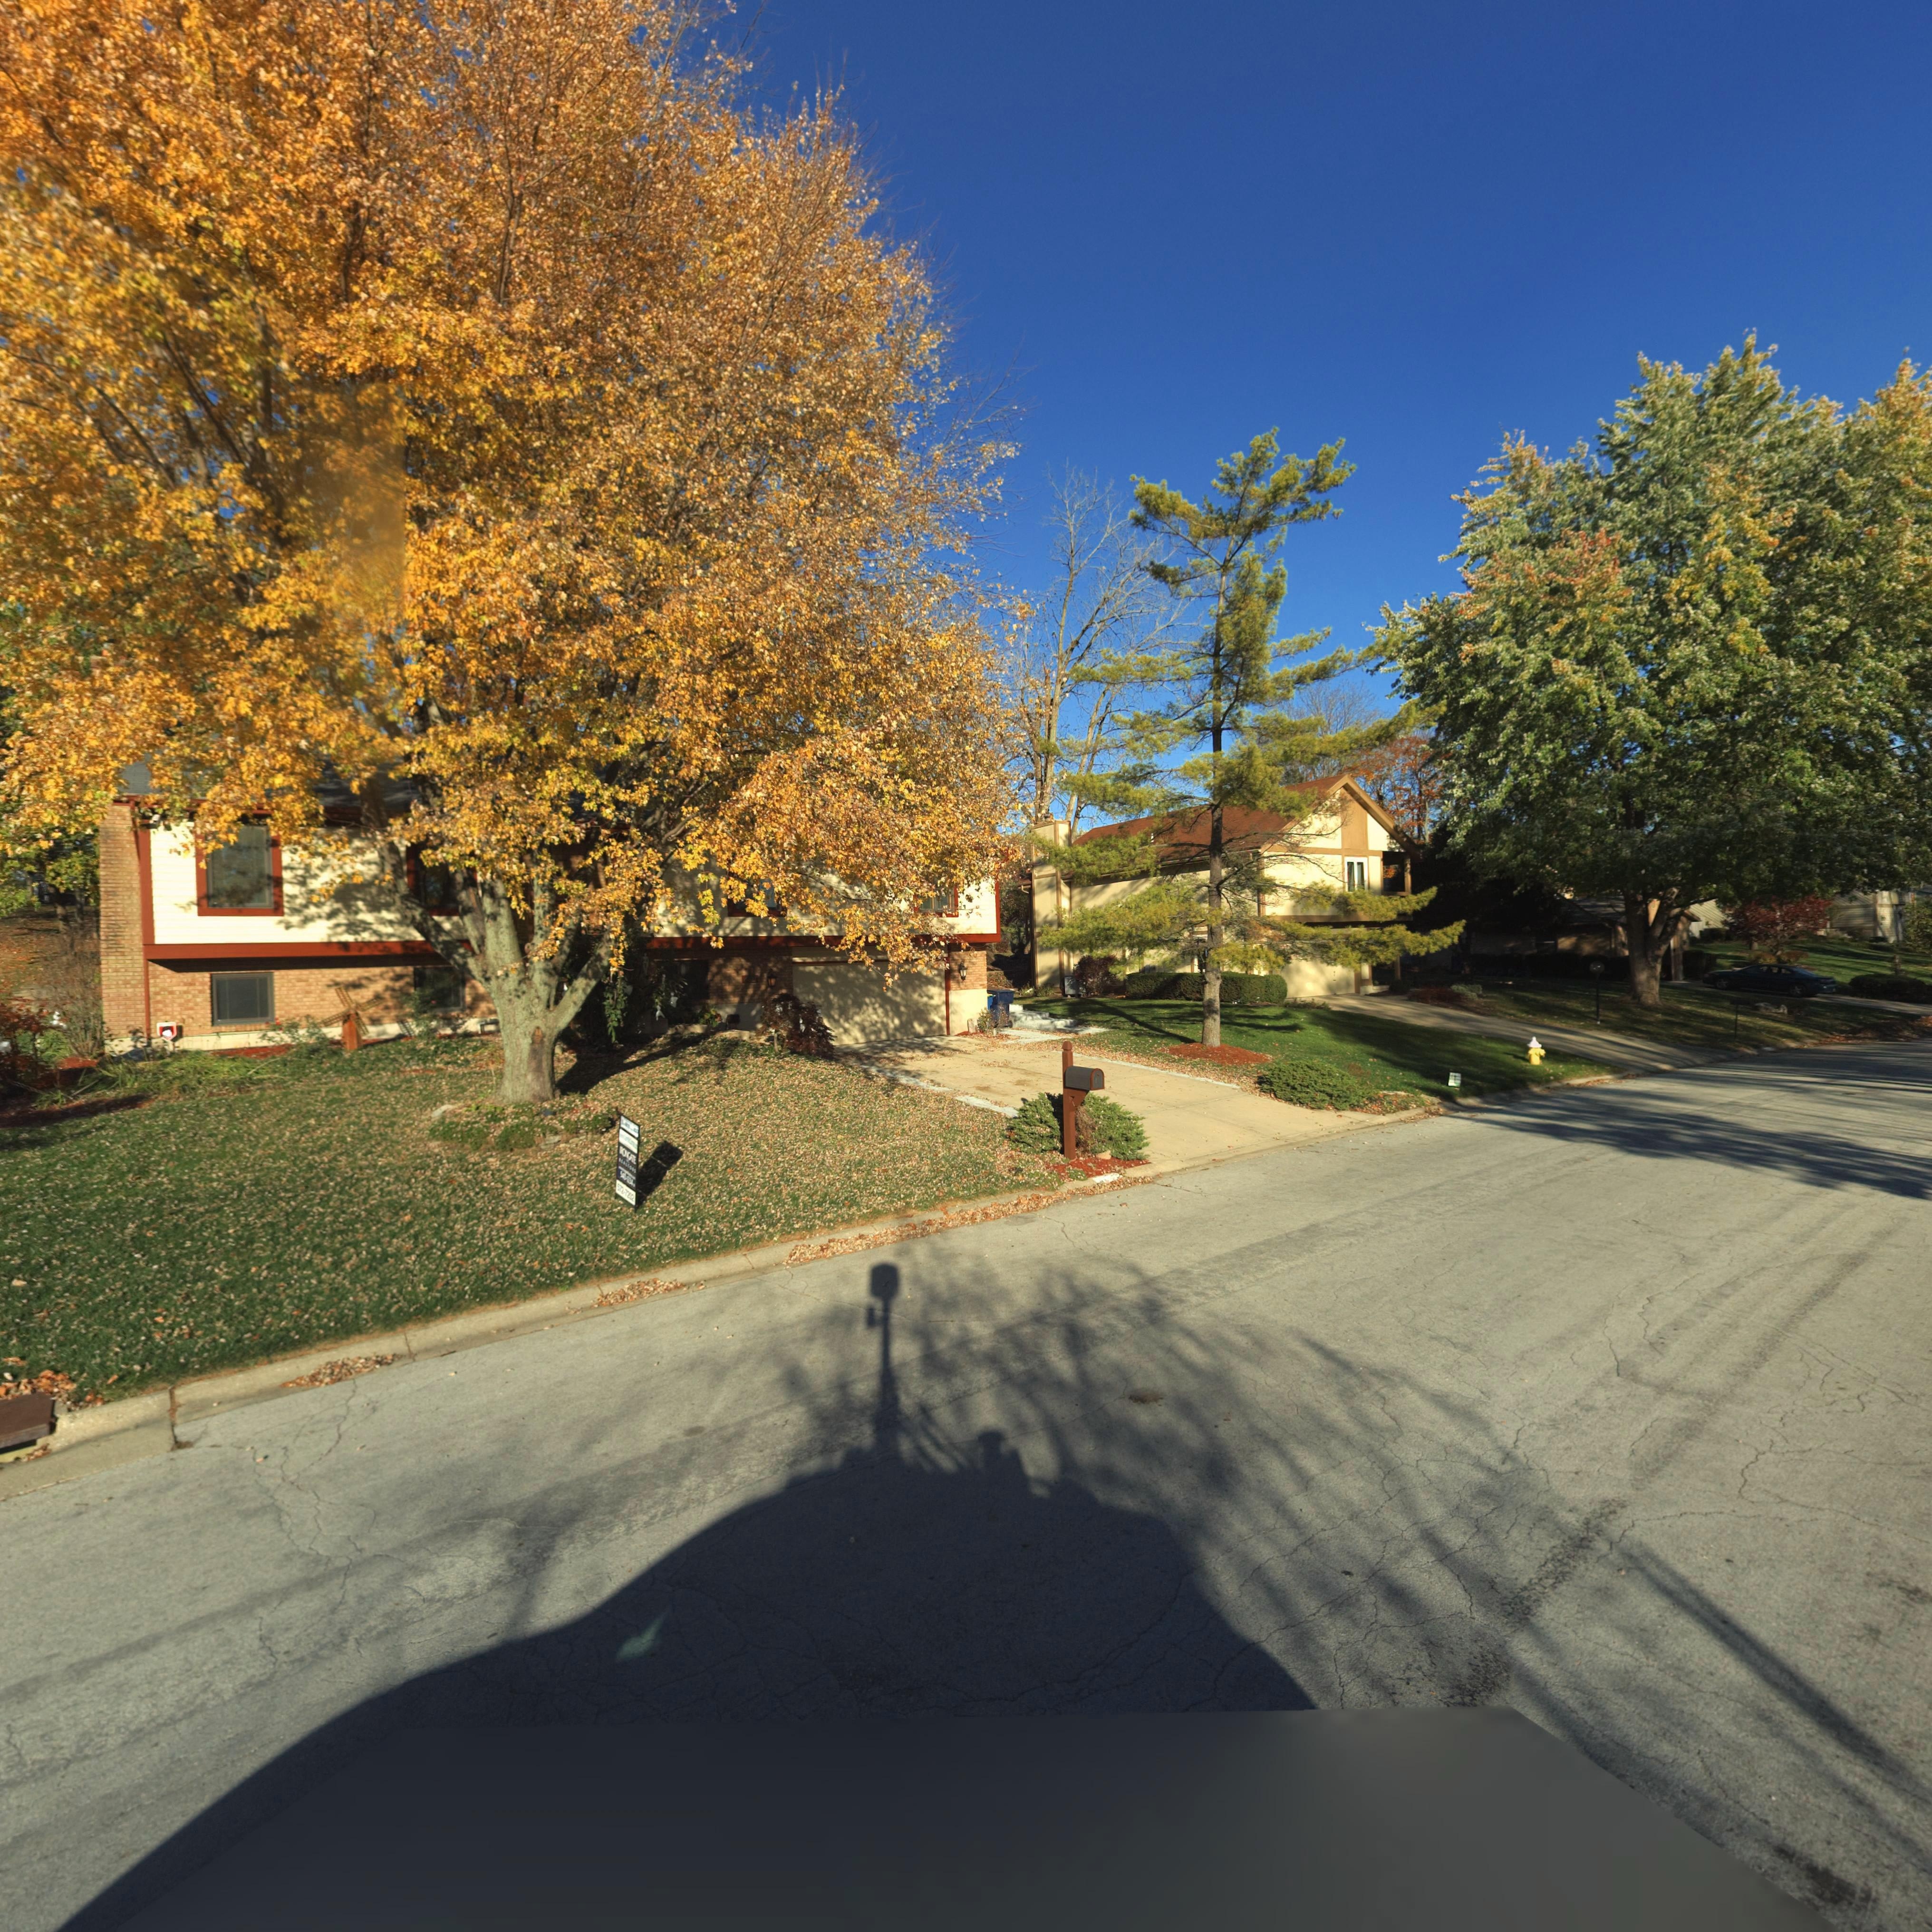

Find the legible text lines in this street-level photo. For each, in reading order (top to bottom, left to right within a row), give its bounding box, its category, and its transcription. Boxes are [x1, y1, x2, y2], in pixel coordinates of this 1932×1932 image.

[742, 976, 758, 983] StreetNumber: 4**7